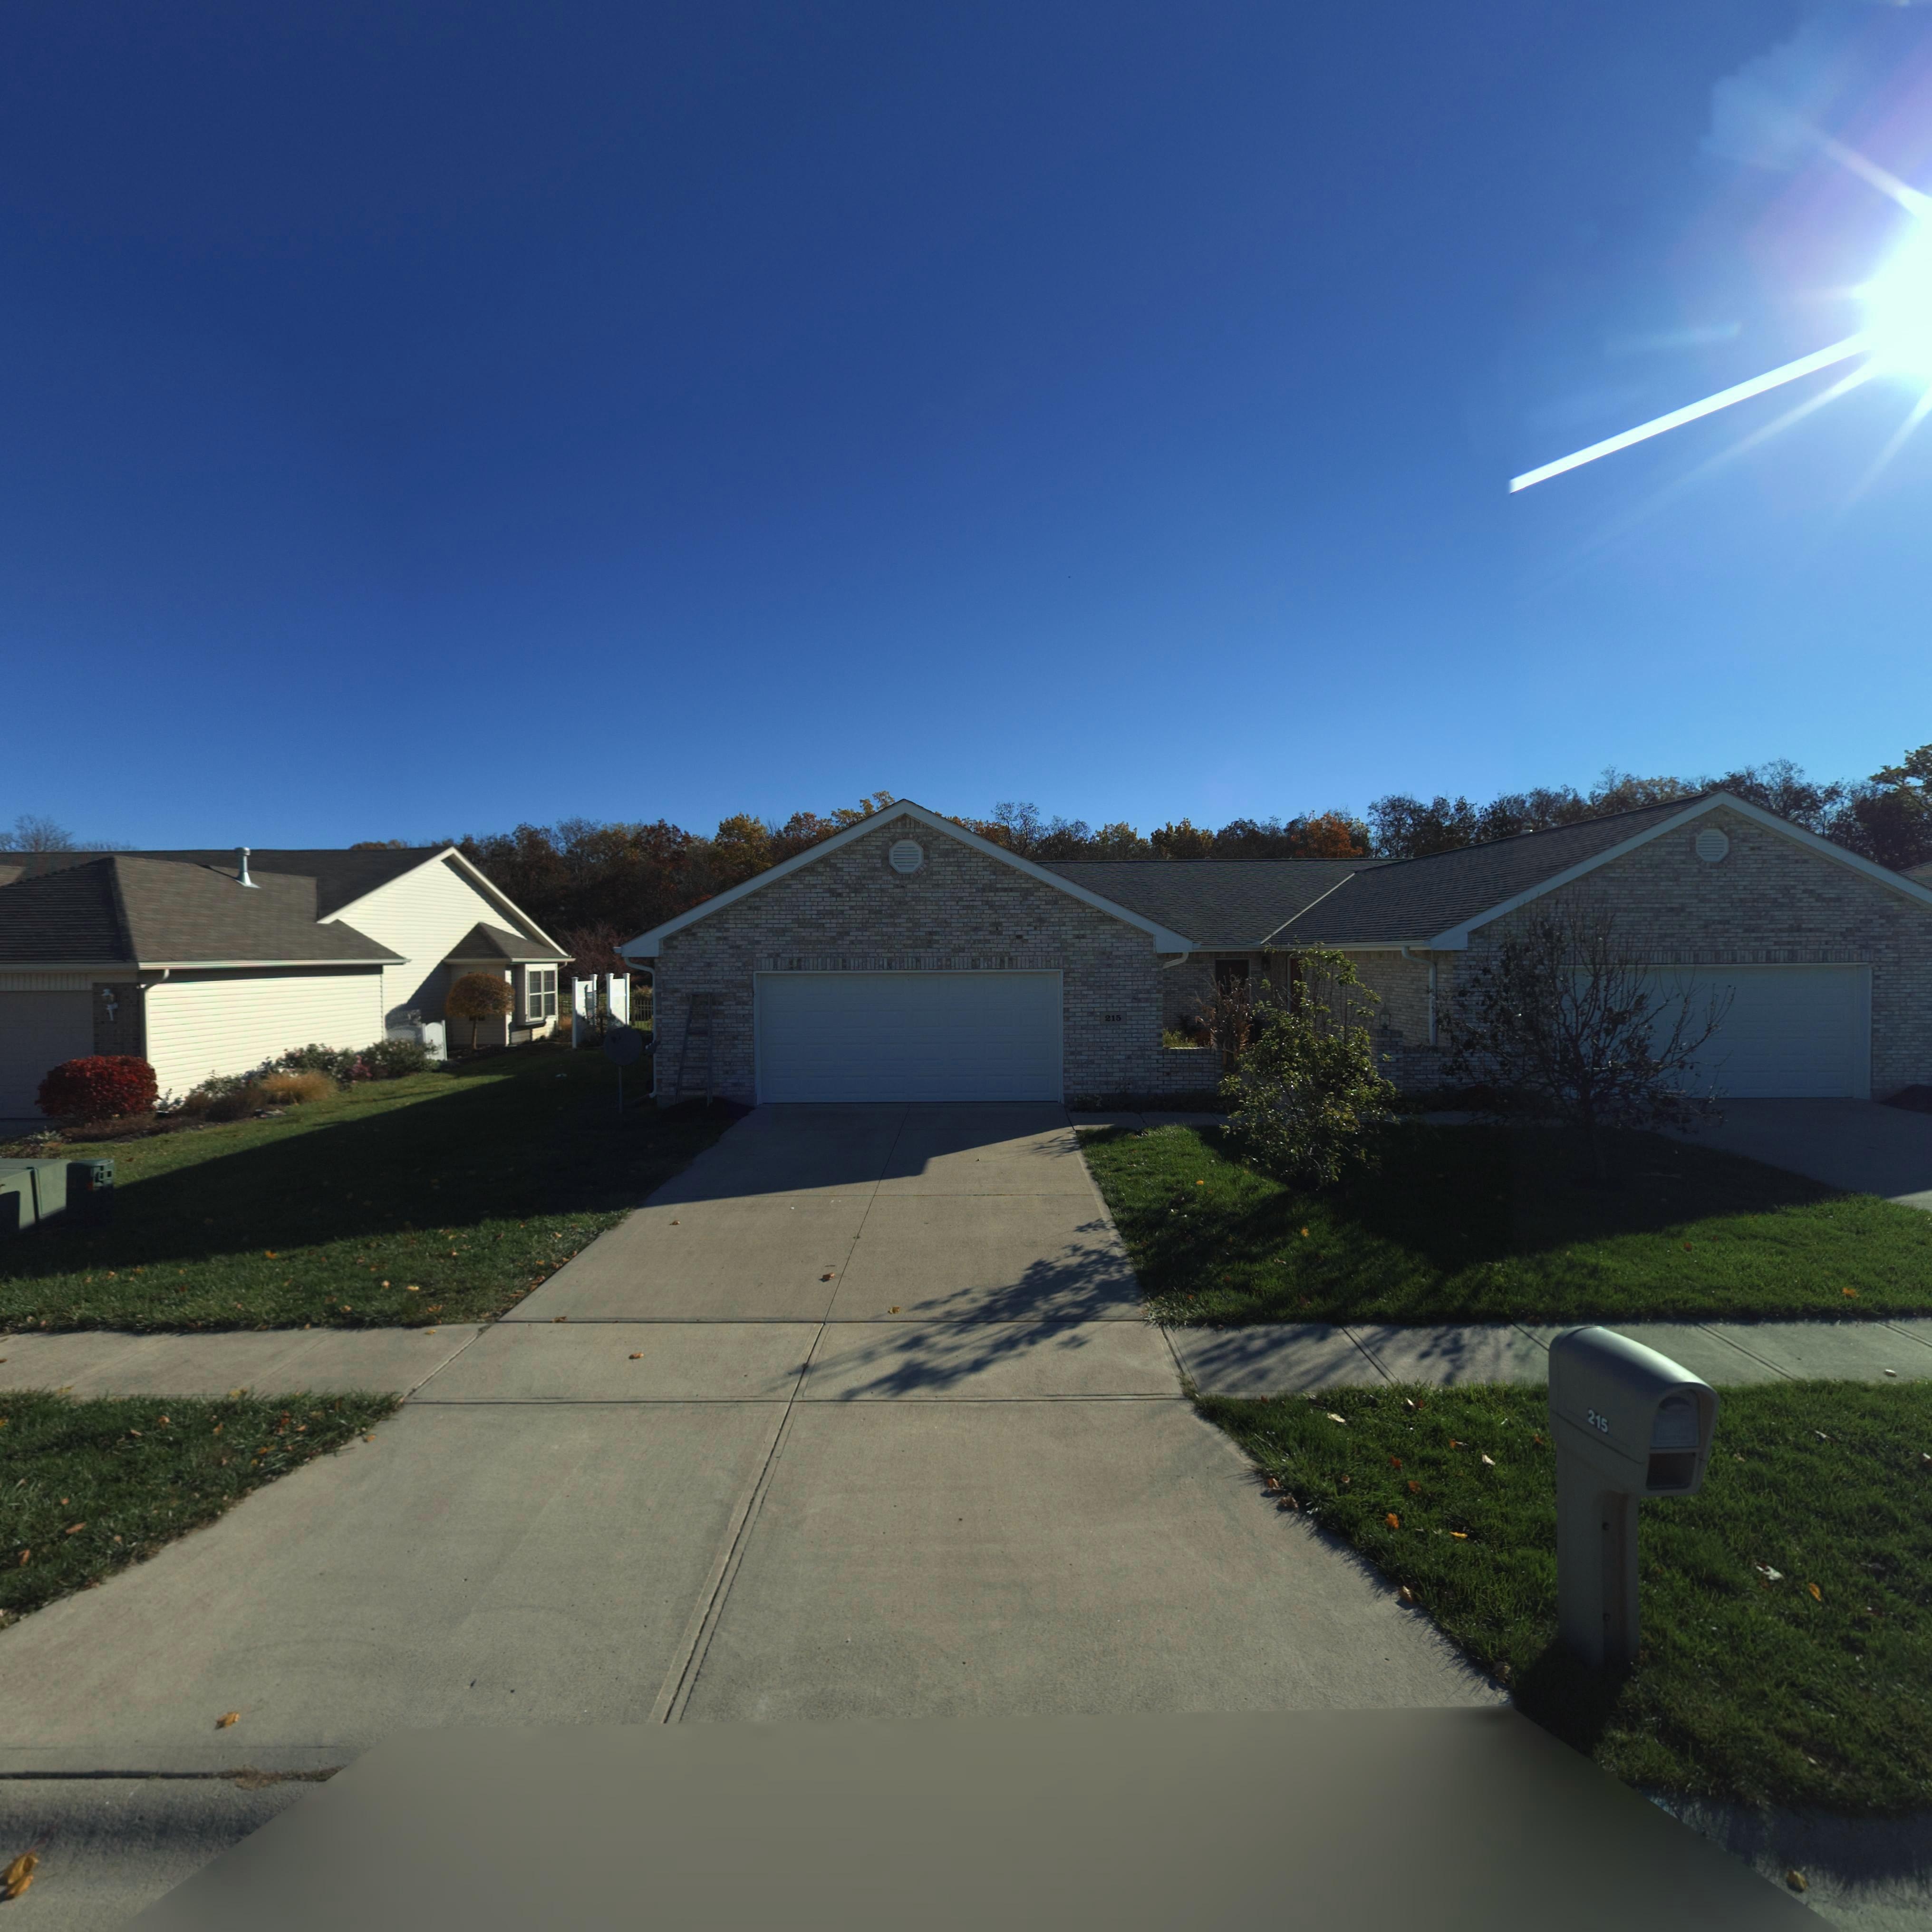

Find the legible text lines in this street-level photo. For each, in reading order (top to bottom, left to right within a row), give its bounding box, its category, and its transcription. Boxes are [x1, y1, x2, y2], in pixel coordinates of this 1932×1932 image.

[1104, 1014, 1122, 1023] StreetNumber: 215
[1586, 1408, 1610, 1435] StreetNumber: 215